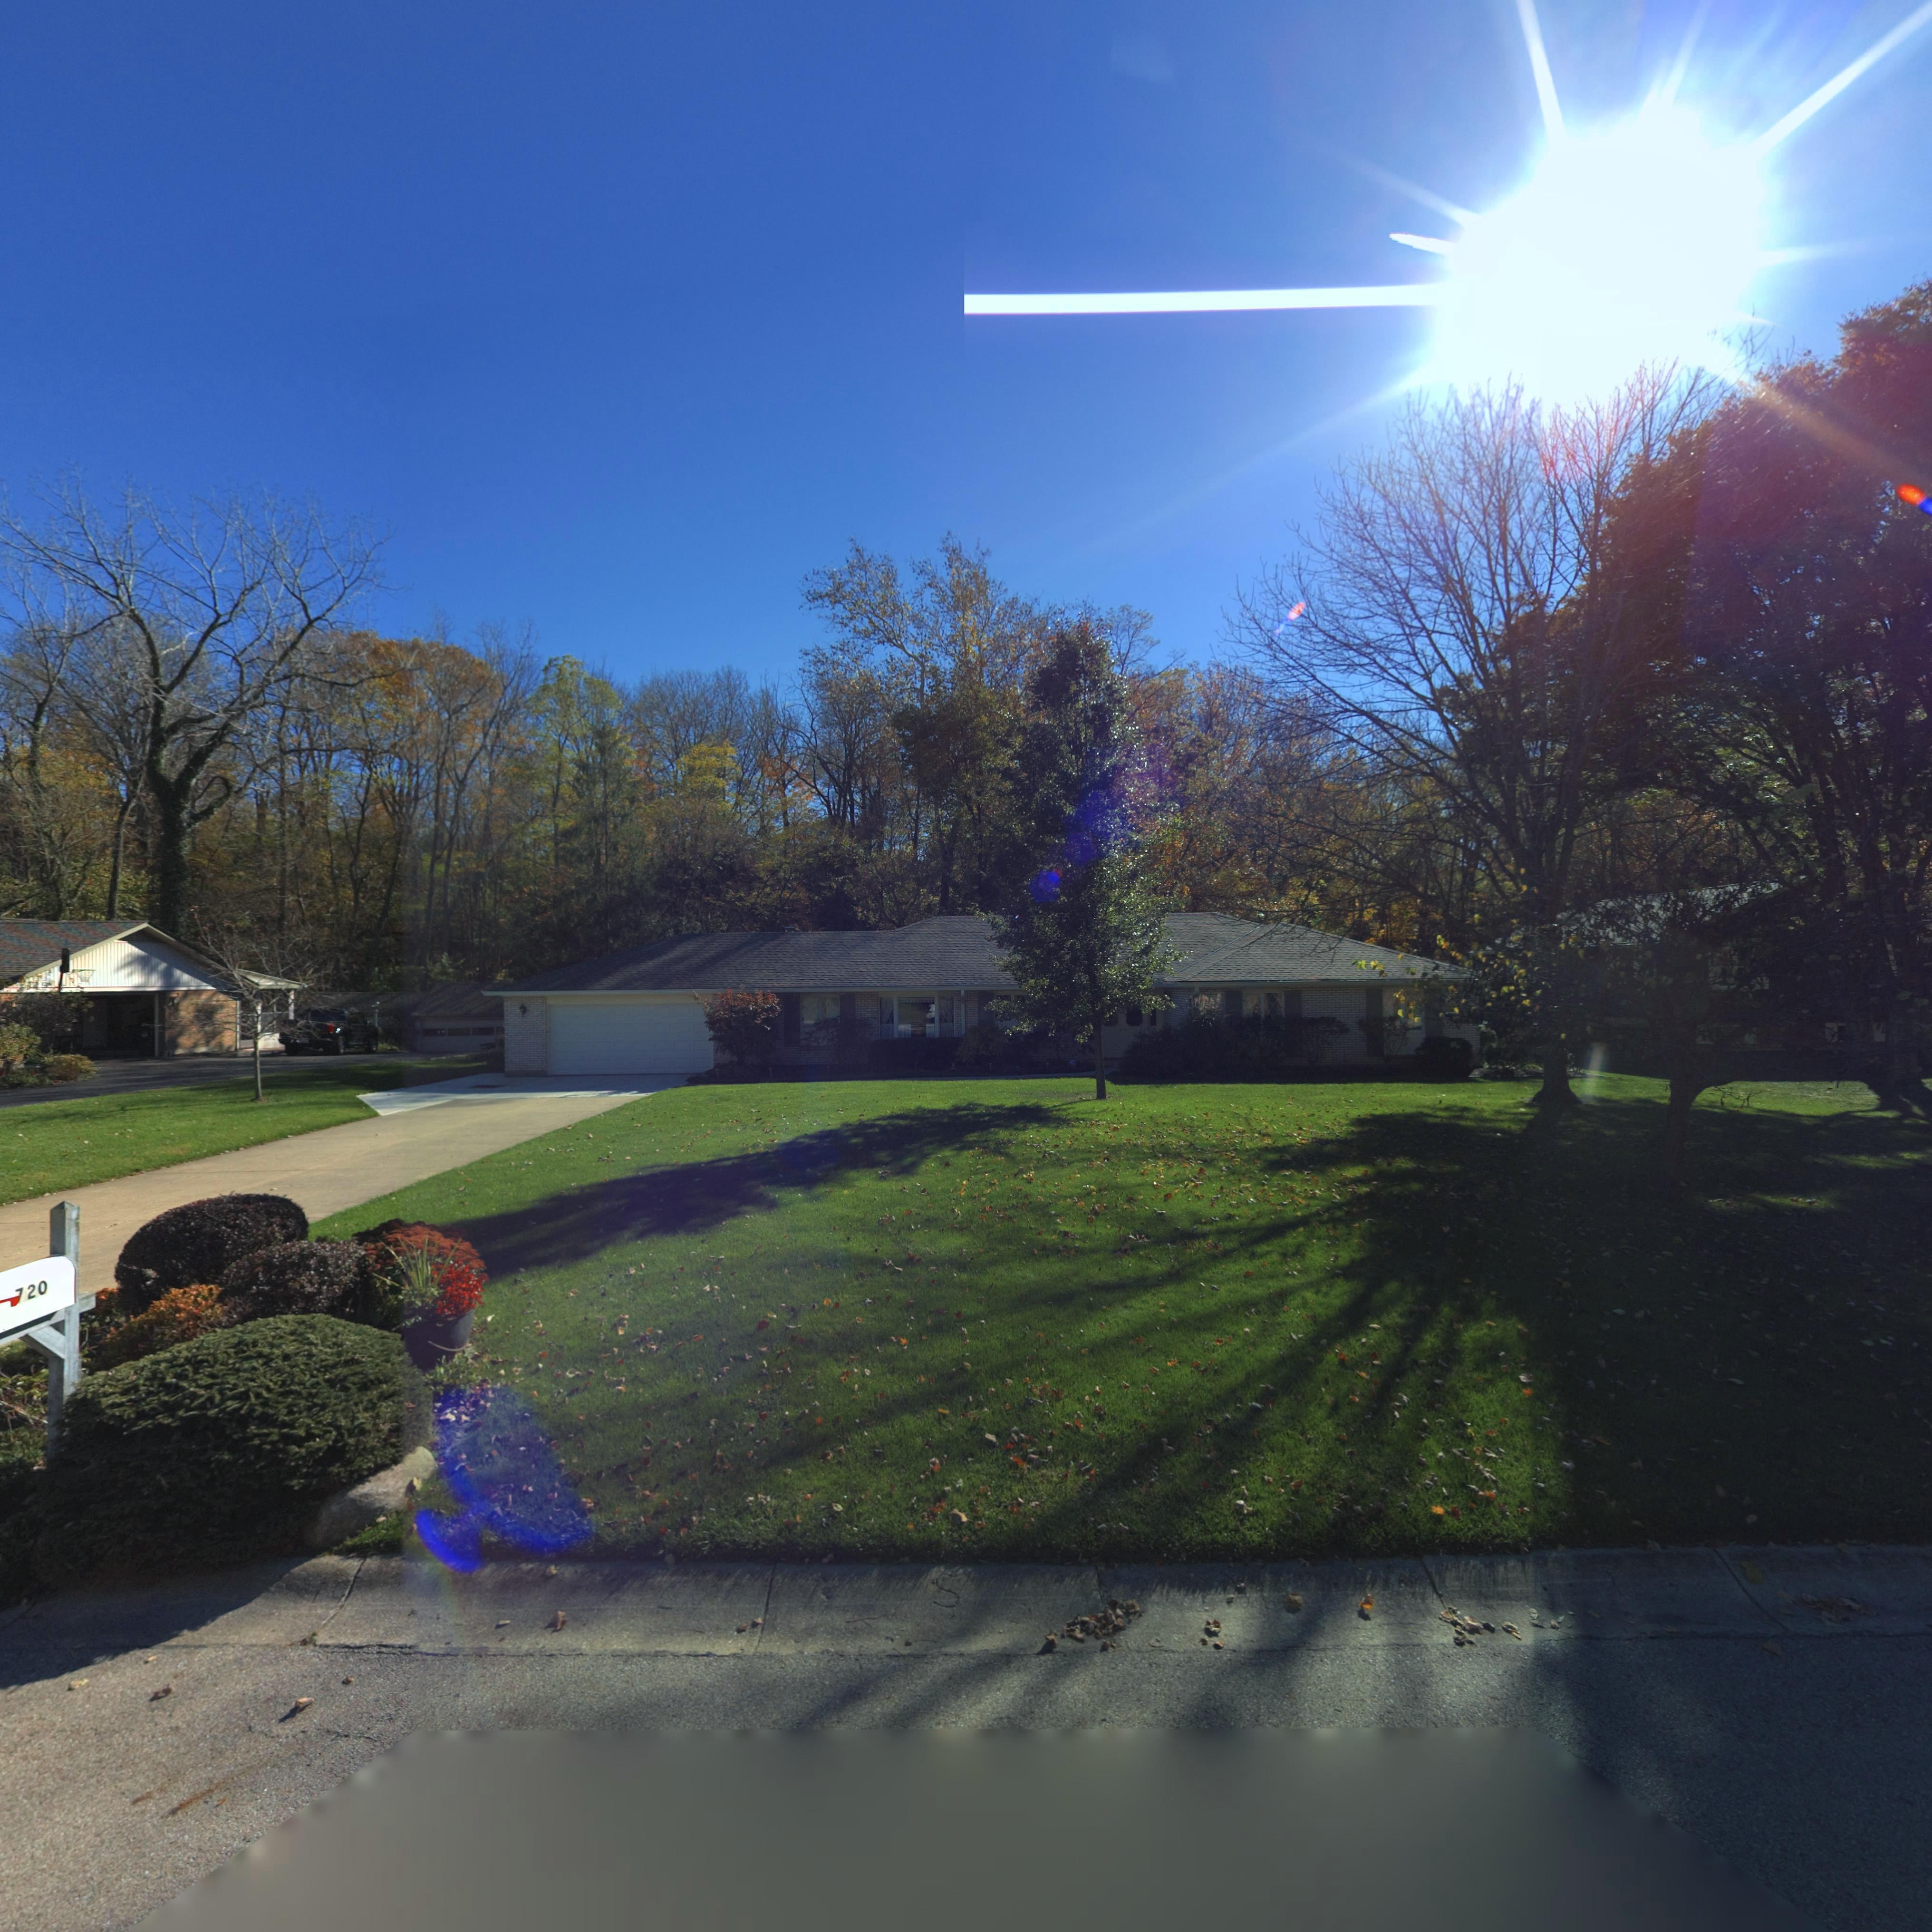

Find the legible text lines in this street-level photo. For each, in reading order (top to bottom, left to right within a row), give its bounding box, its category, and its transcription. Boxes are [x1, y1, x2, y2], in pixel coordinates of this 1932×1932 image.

[25, 1278, 49, 1302] StreetNumber: 20